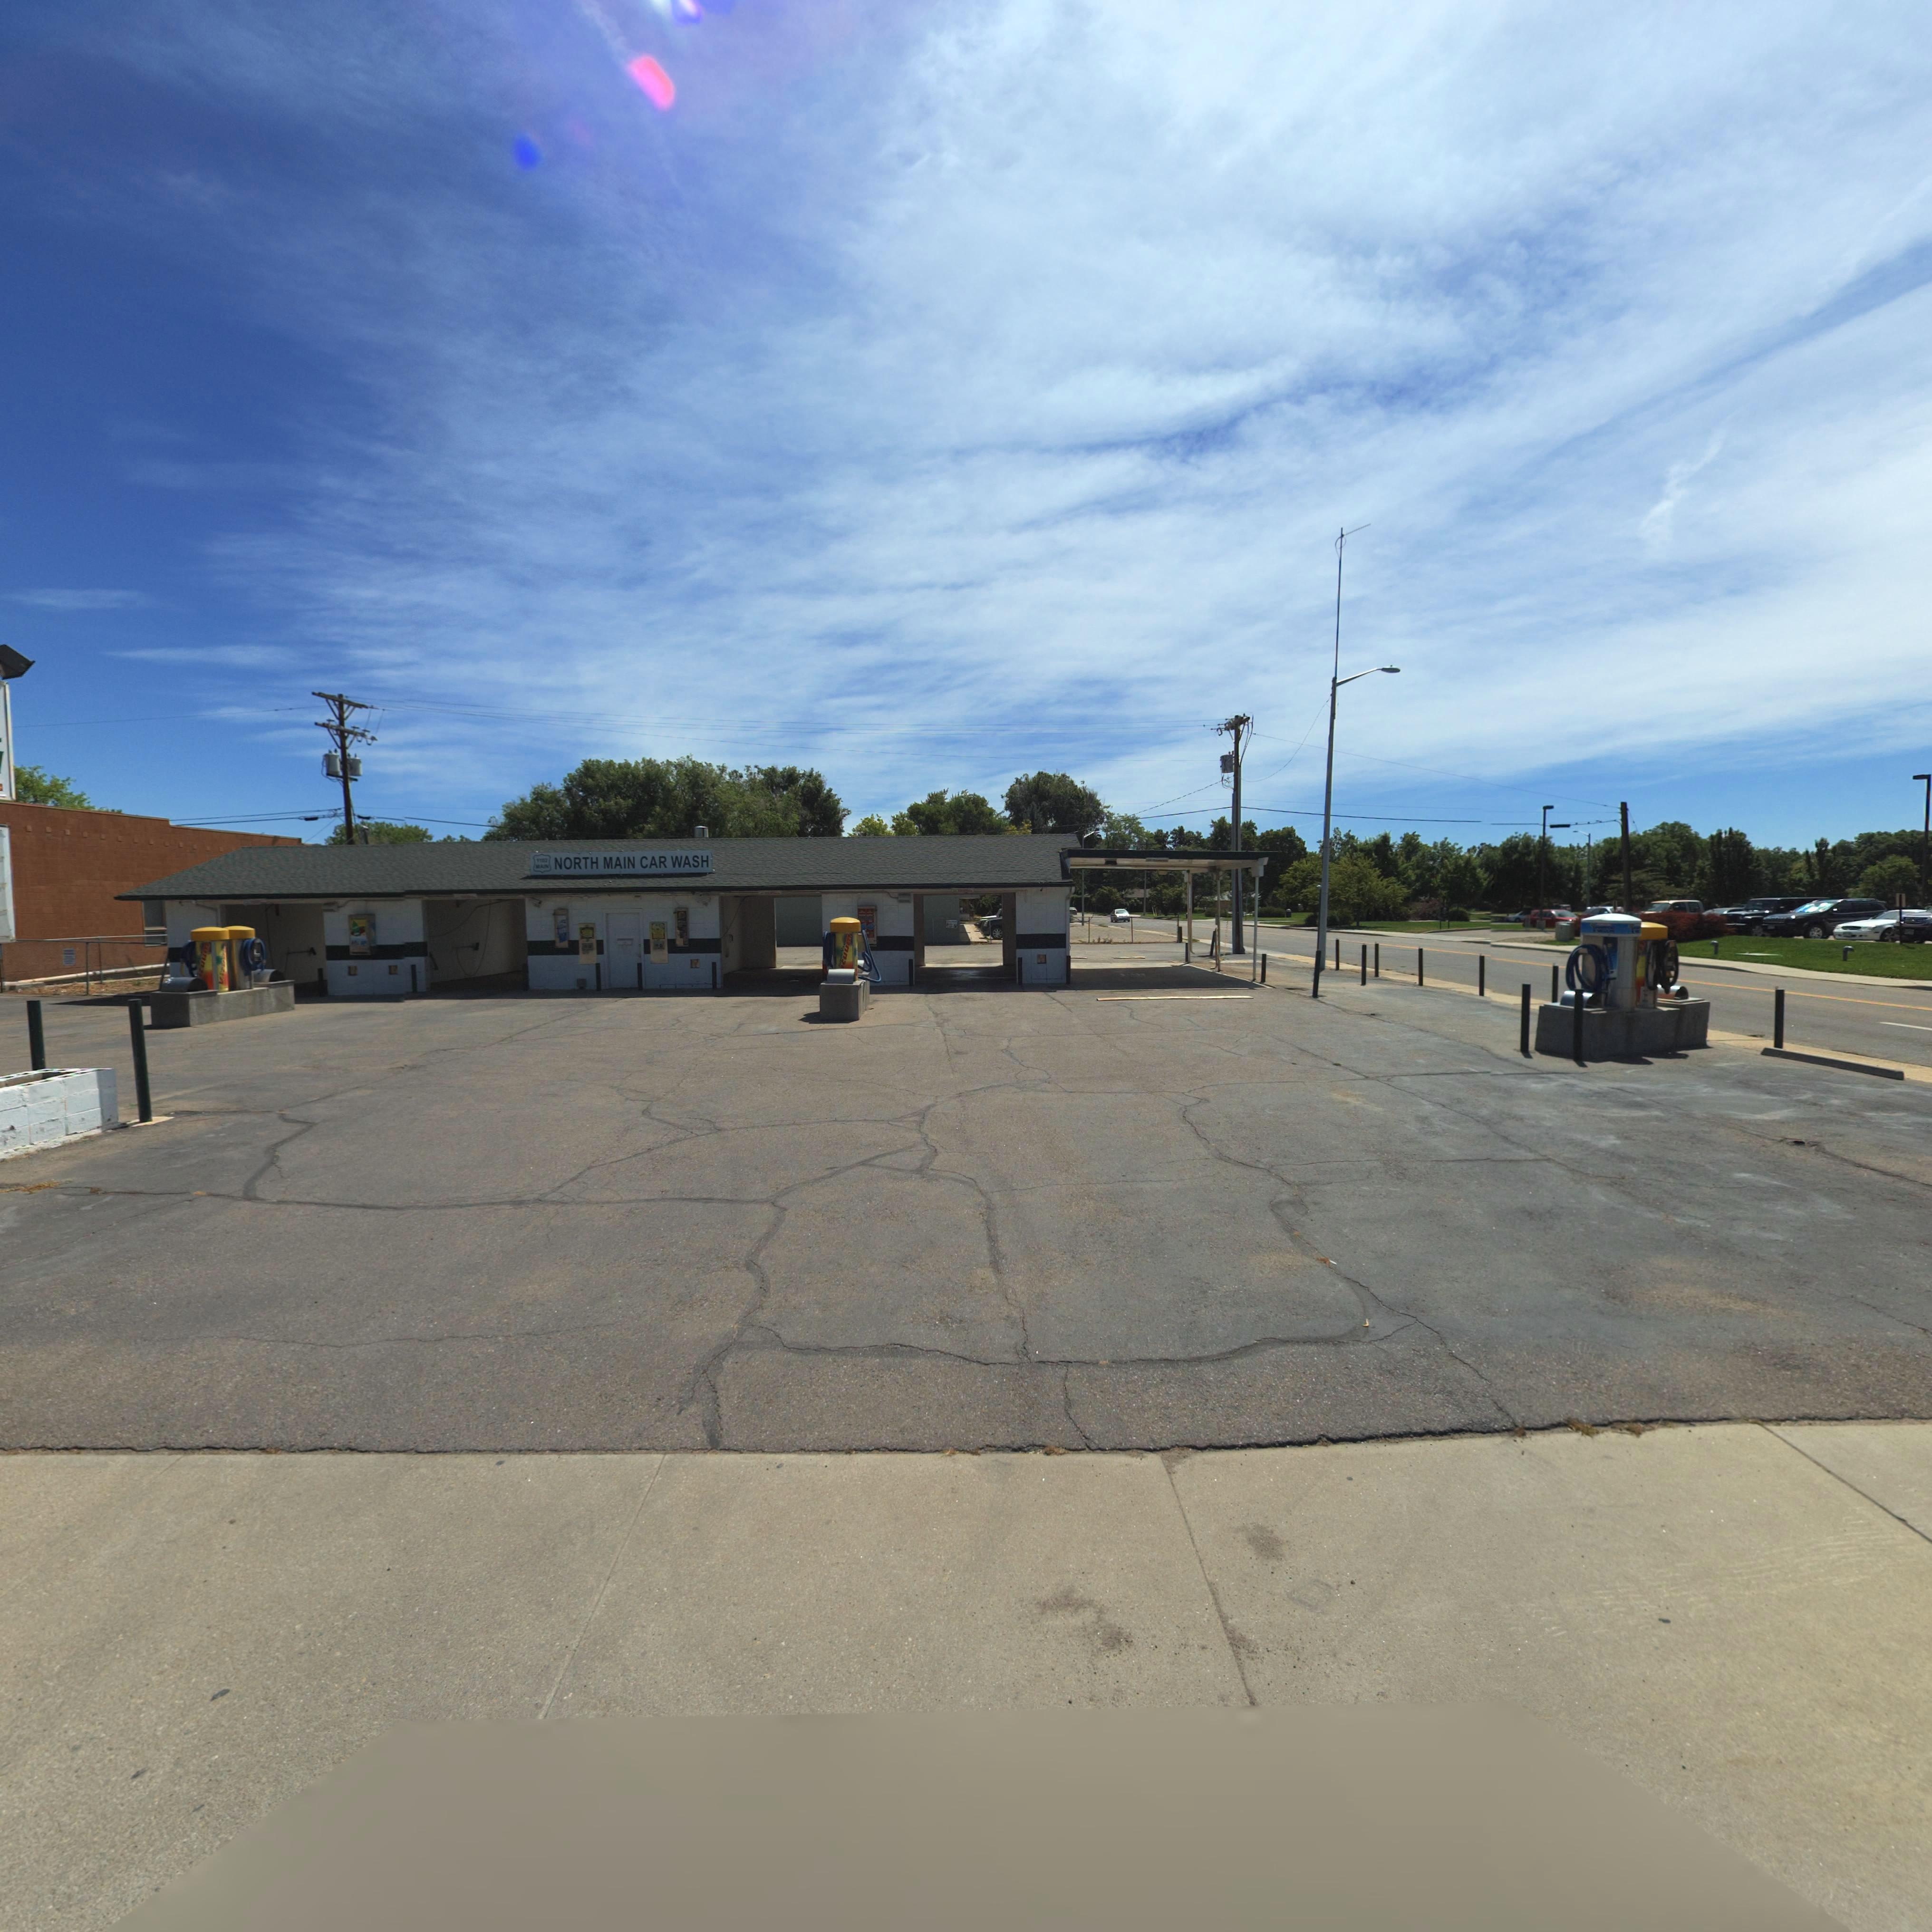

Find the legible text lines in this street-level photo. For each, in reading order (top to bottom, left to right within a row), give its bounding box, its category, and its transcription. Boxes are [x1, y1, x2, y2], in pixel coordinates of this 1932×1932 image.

[536, 858, 548, 863] StreetNumber: 1102
[554, 855, 709, 870] BusinessName: NORTH MAIN CAR WASH
[535, 864, 549, 869] StreetName: MAIN